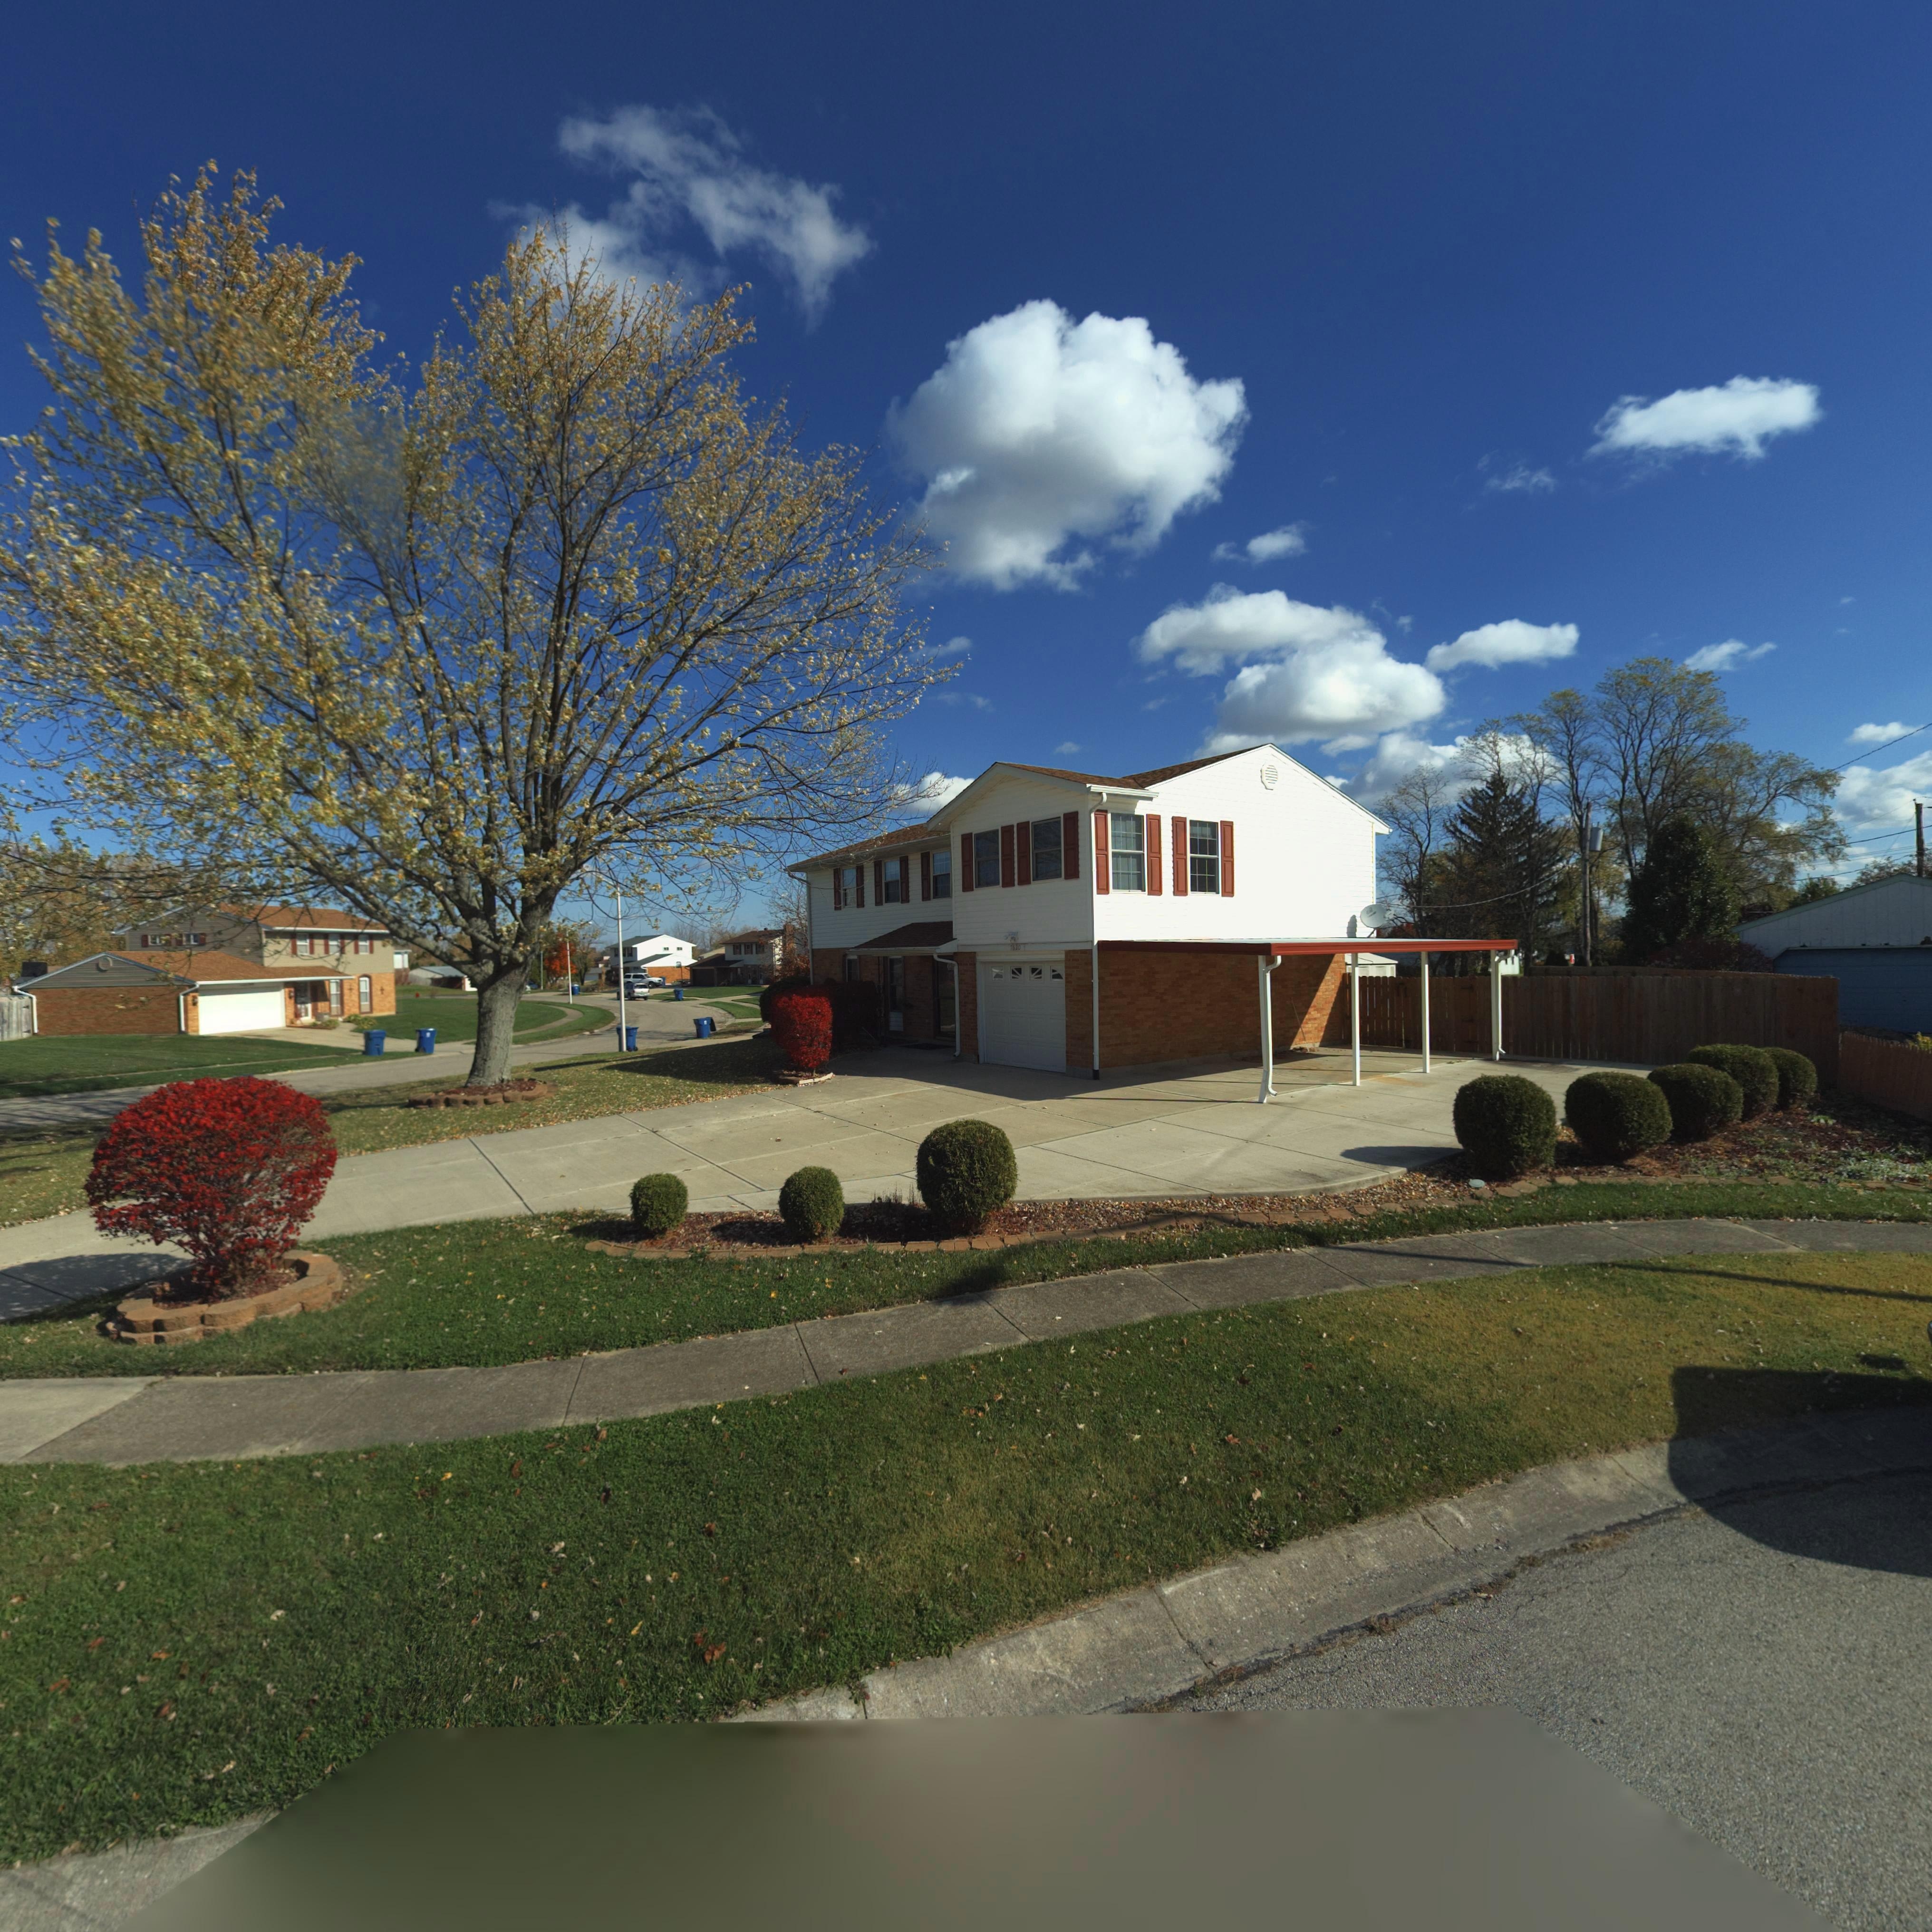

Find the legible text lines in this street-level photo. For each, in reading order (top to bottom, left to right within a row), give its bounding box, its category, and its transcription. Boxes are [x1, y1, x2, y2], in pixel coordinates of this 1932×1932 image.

[1009, 943, 1022, 952] StreetNumber: 76*0